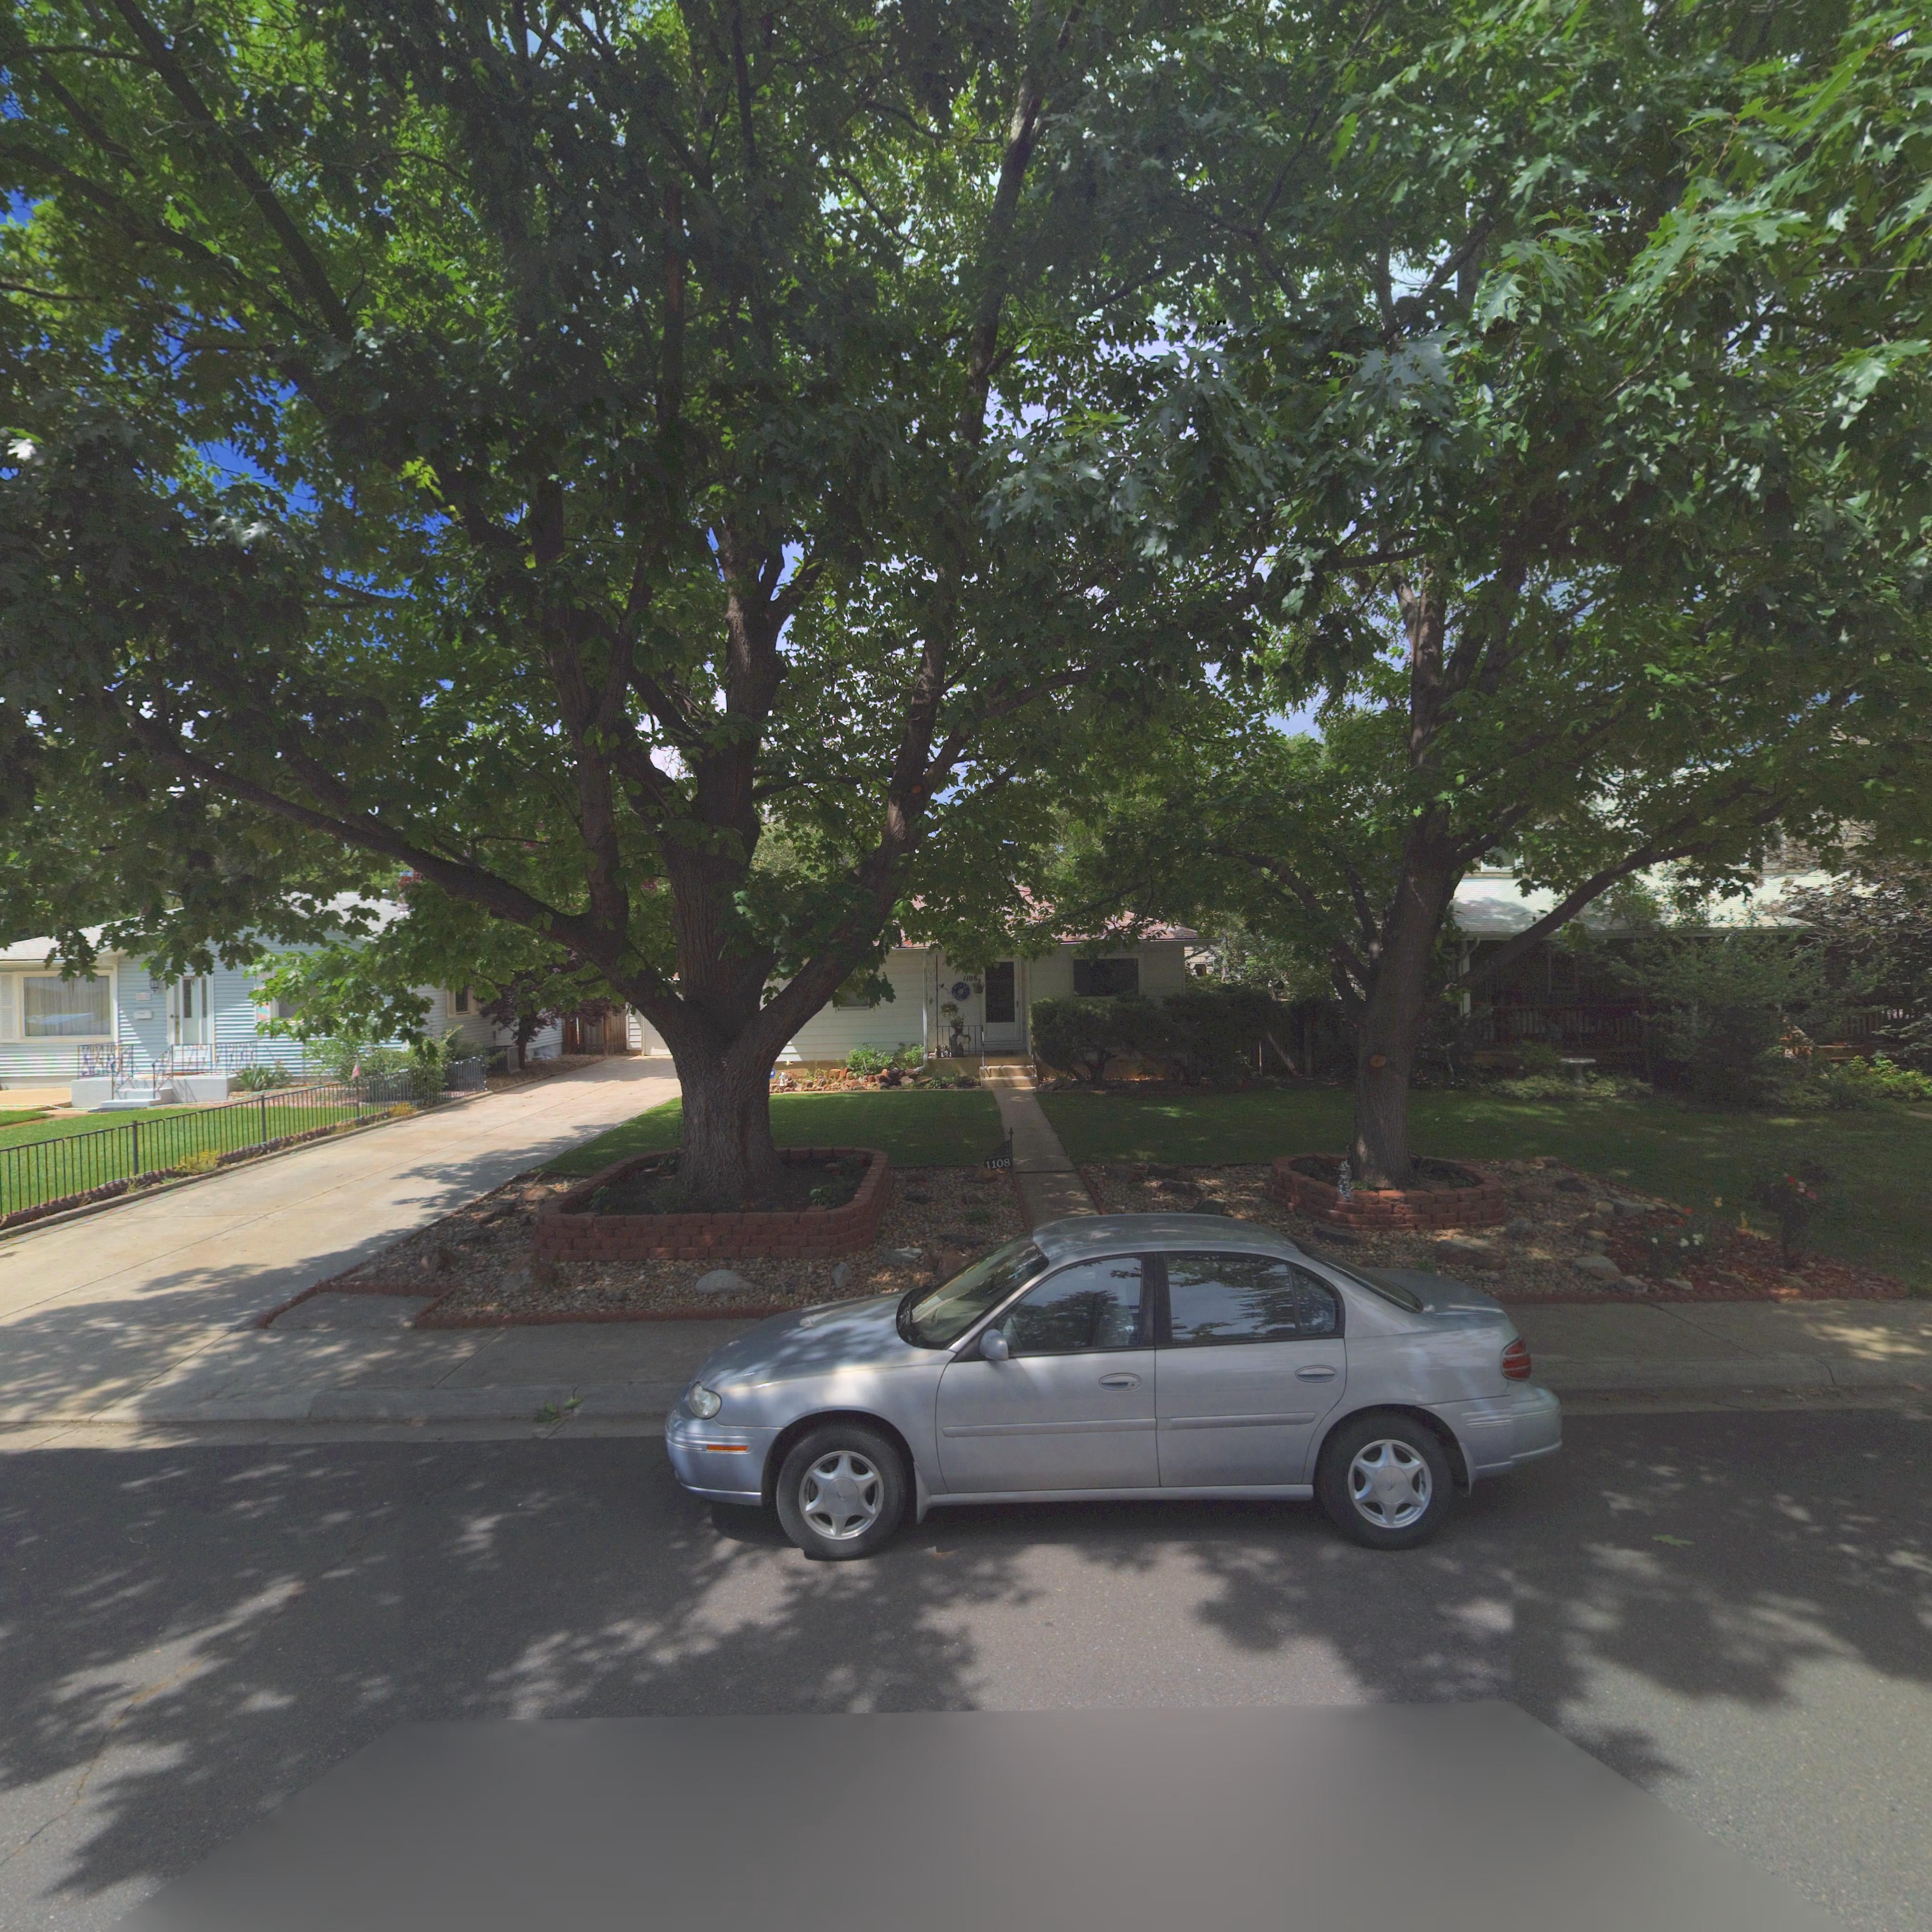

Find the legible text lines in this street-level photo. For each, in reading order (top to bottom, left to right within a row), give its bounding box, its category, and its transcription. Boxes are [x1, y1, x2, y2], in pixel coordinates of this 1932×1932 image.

[962, 974, 978, 982] StreetNumber: 1108
[136, 993, 150, 999] StreetNumber: 1112
[985, 1157, 1011, 1170] StreetNumber: 1108